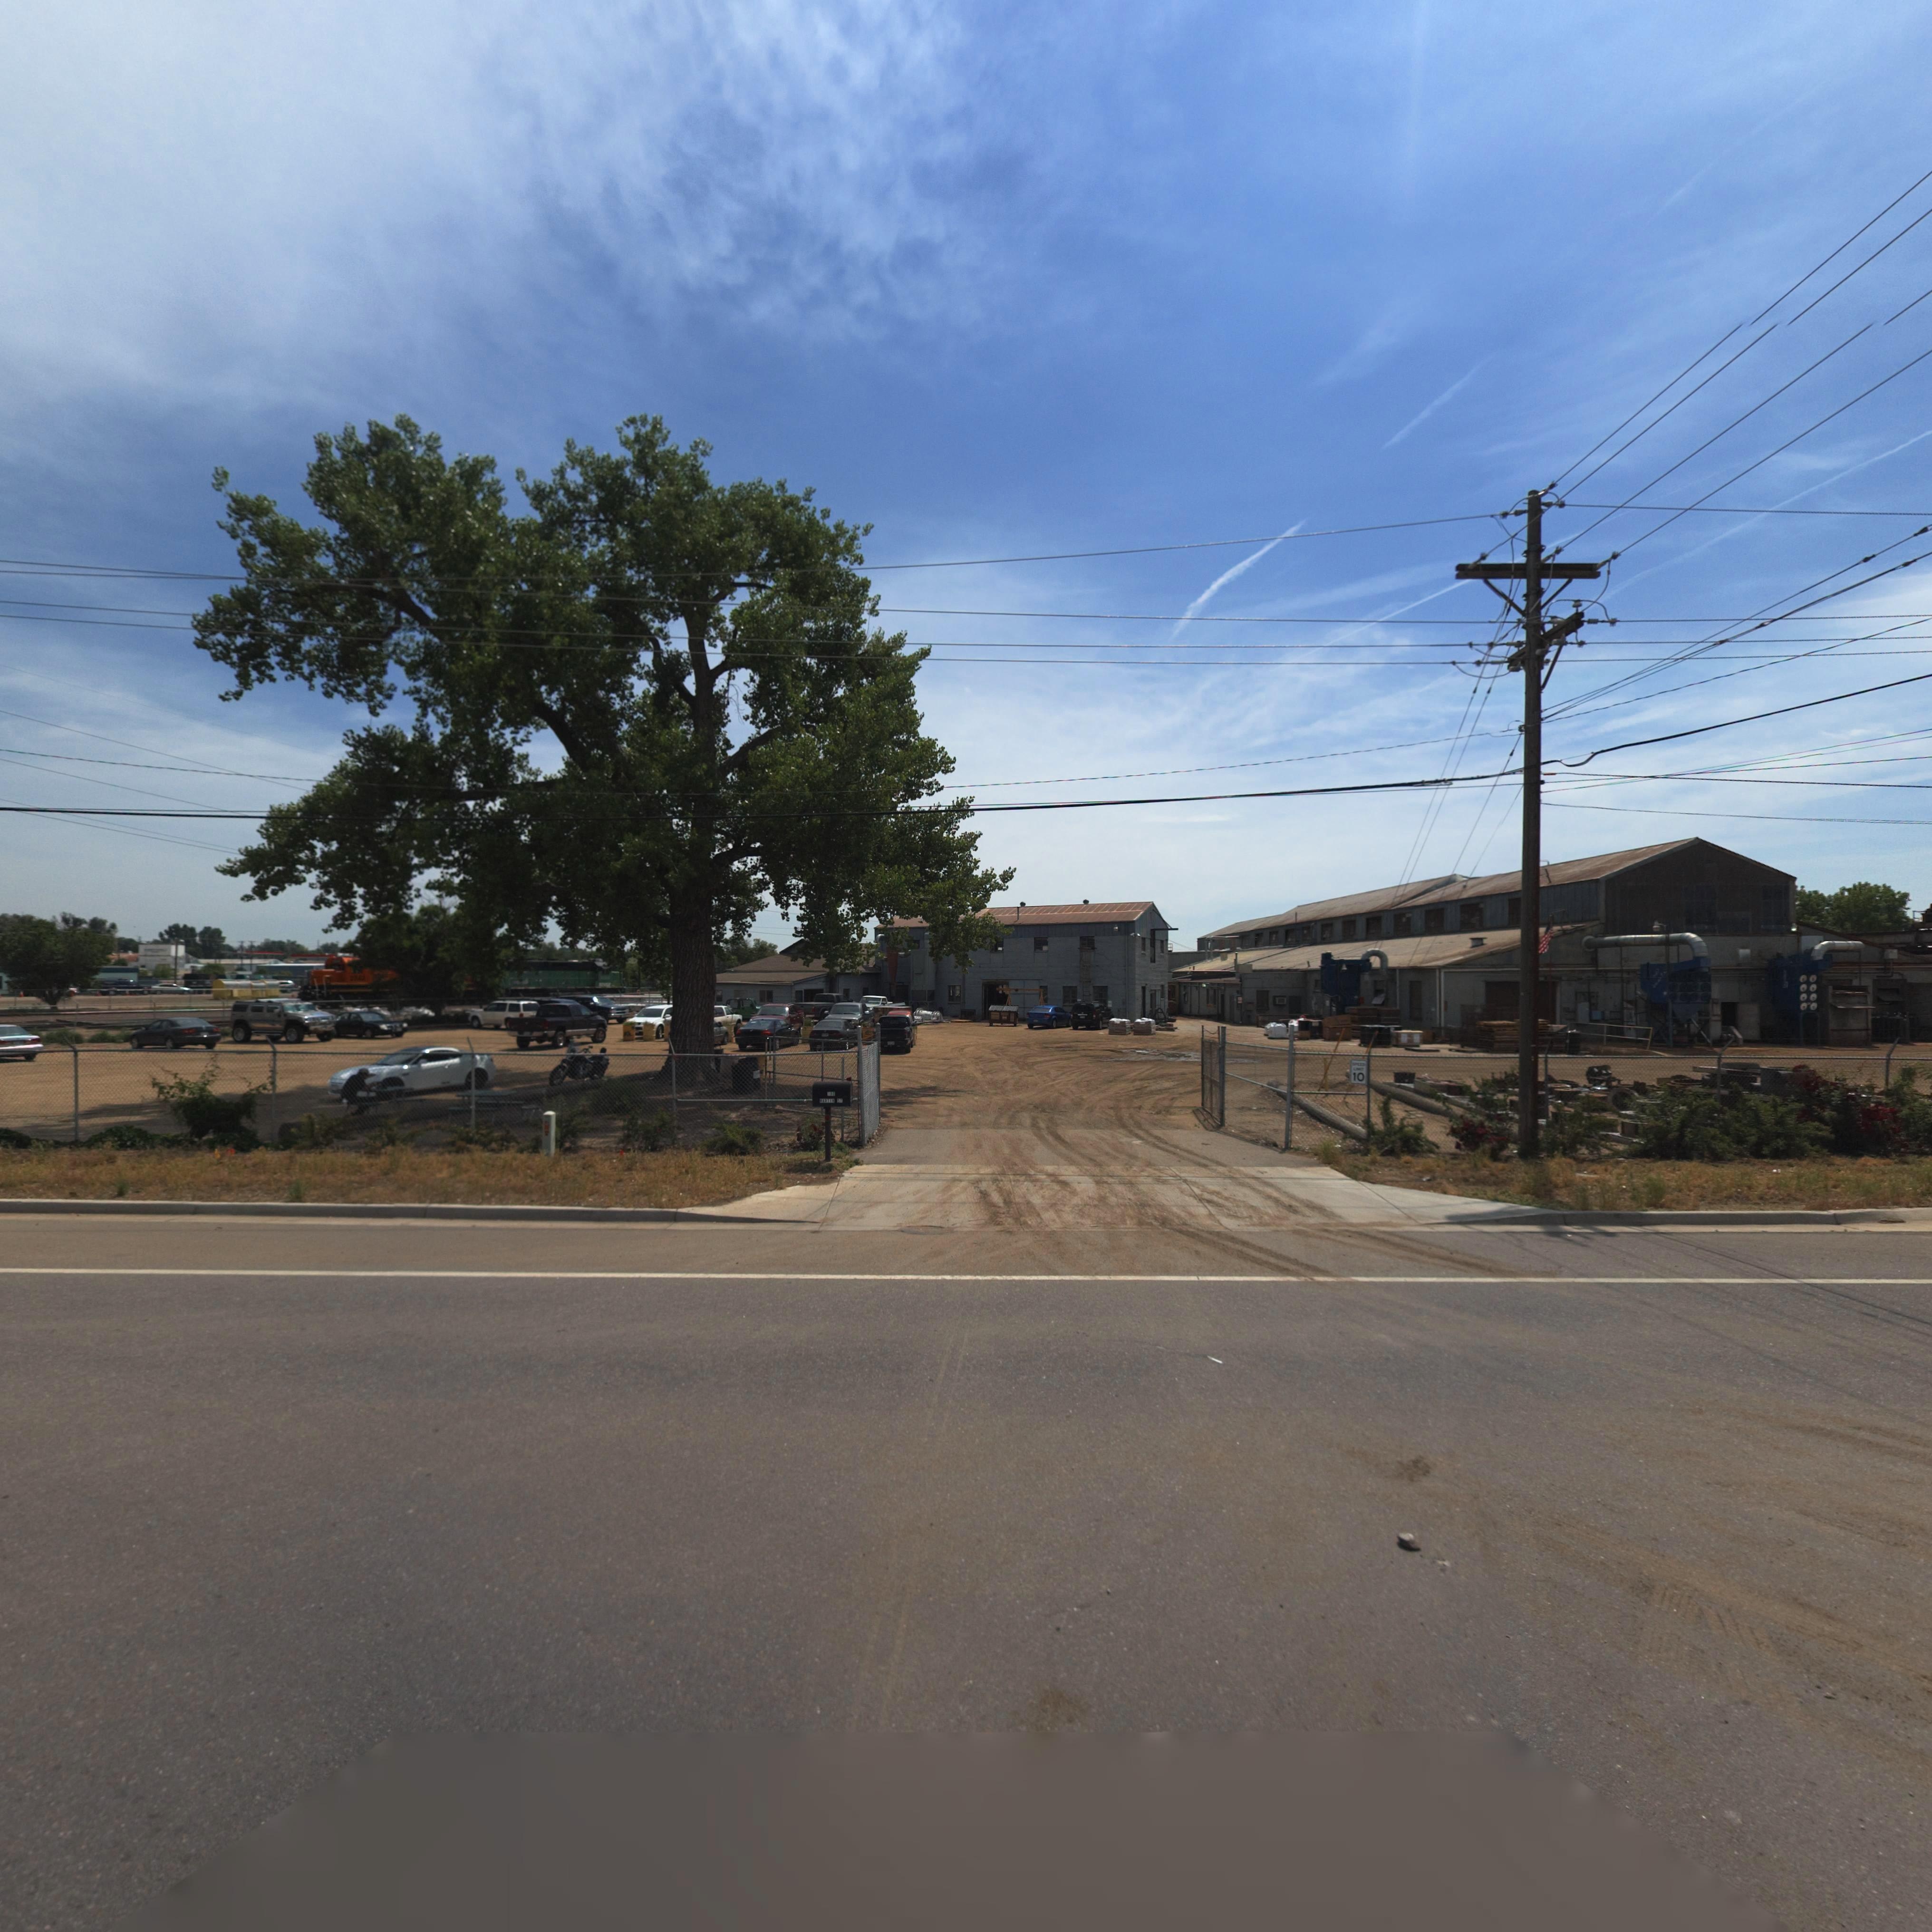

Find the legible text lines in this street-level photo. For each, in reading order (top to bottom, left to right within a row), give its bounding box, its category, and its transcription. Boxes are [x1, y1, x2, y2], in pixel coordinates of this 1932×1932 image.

[828, 1092, 835, 1095] StreetNumber: 1**
[819, 1098, 842, 1103] StreetName: C******* ST